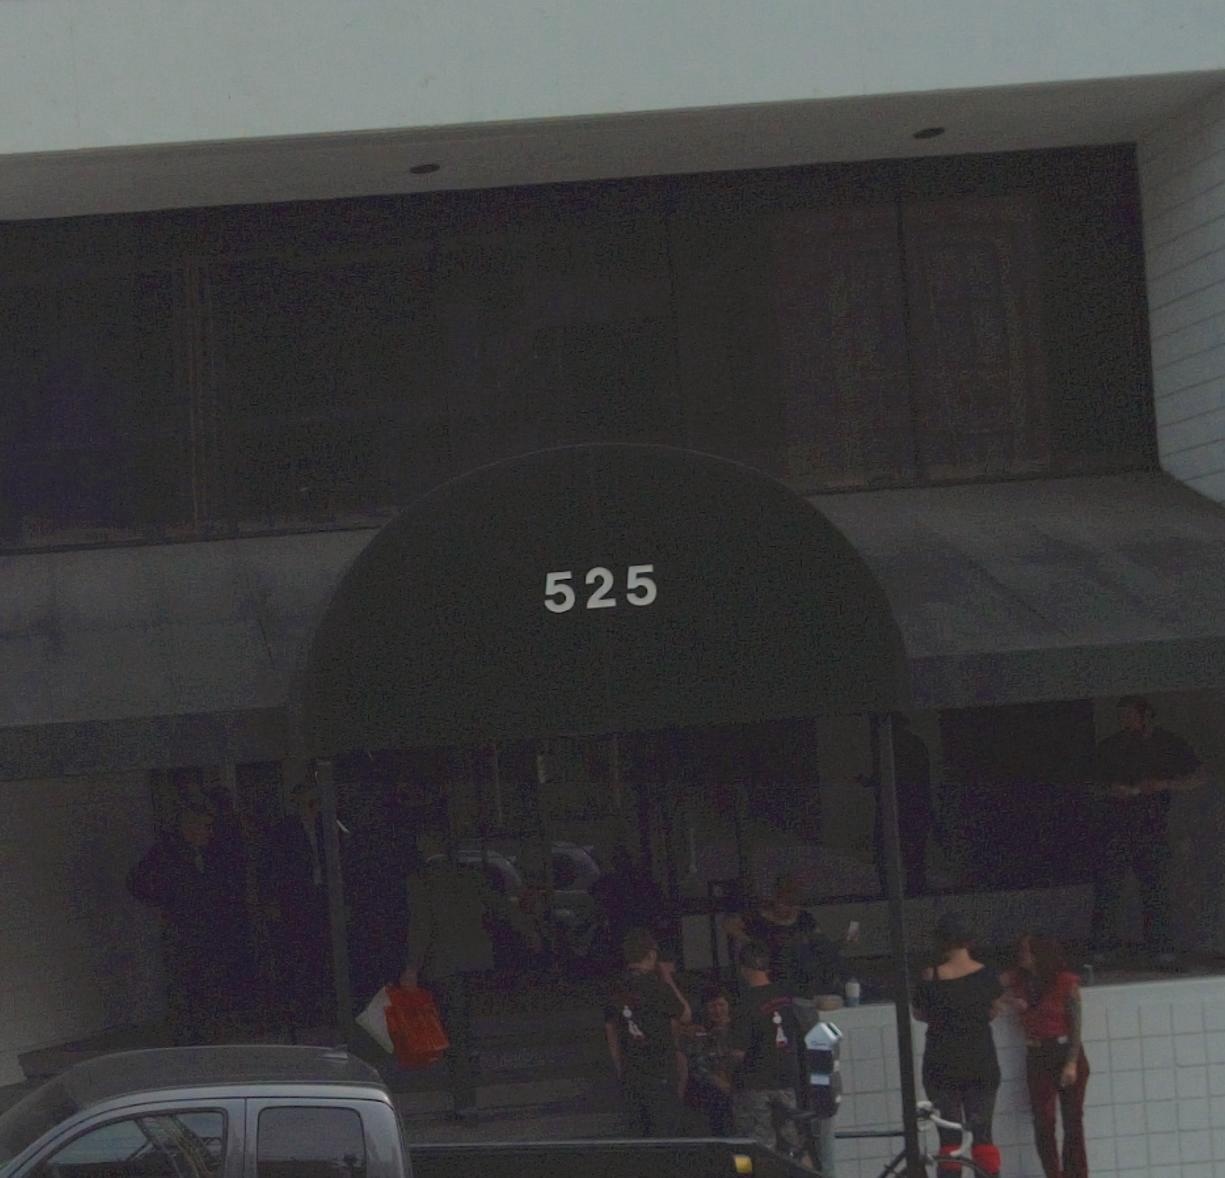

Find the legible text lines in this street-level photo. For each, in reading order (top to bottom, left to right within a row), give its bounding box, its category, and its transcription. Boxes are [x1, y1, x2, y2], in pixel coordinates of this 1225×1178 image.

[542, 560, 660, 617] StreetNumber: 525